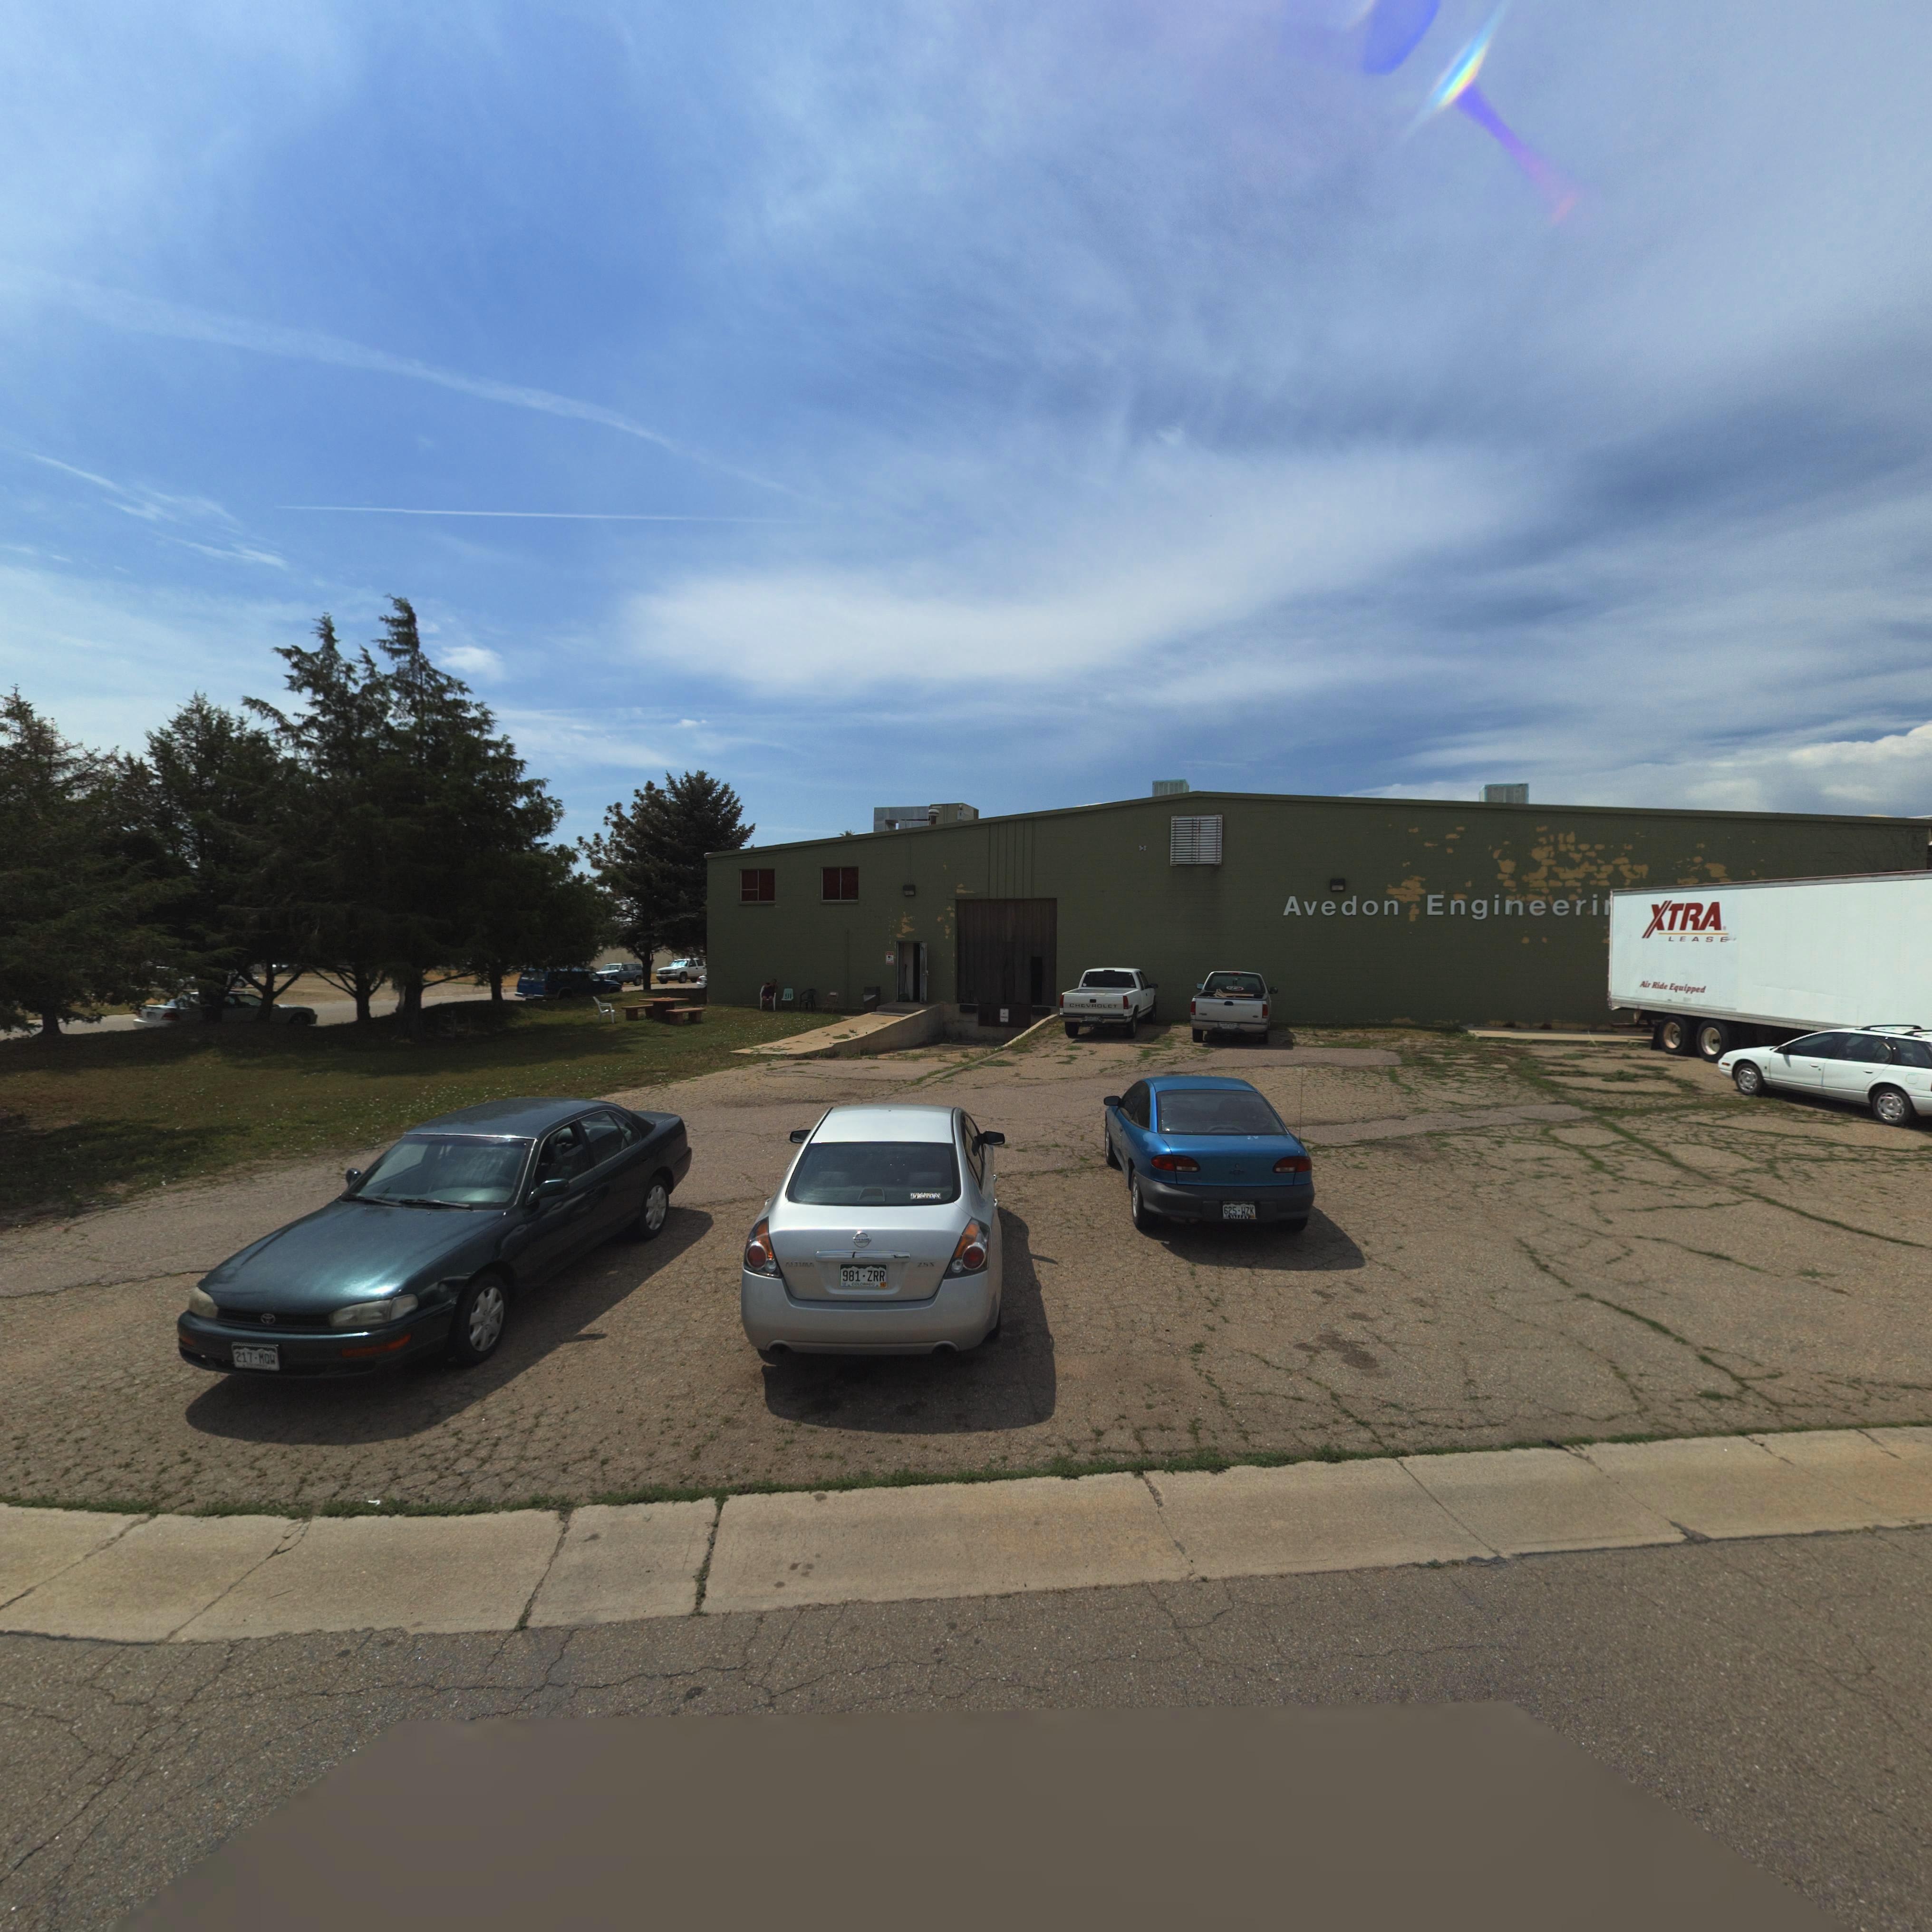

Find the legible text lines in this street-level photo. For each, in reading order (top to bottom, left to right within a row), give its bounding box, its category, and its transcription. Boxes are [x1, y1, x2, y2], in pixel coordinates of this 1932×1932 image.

[1281, 892, 1610, 921] StreetName: Avedon Engineeri*